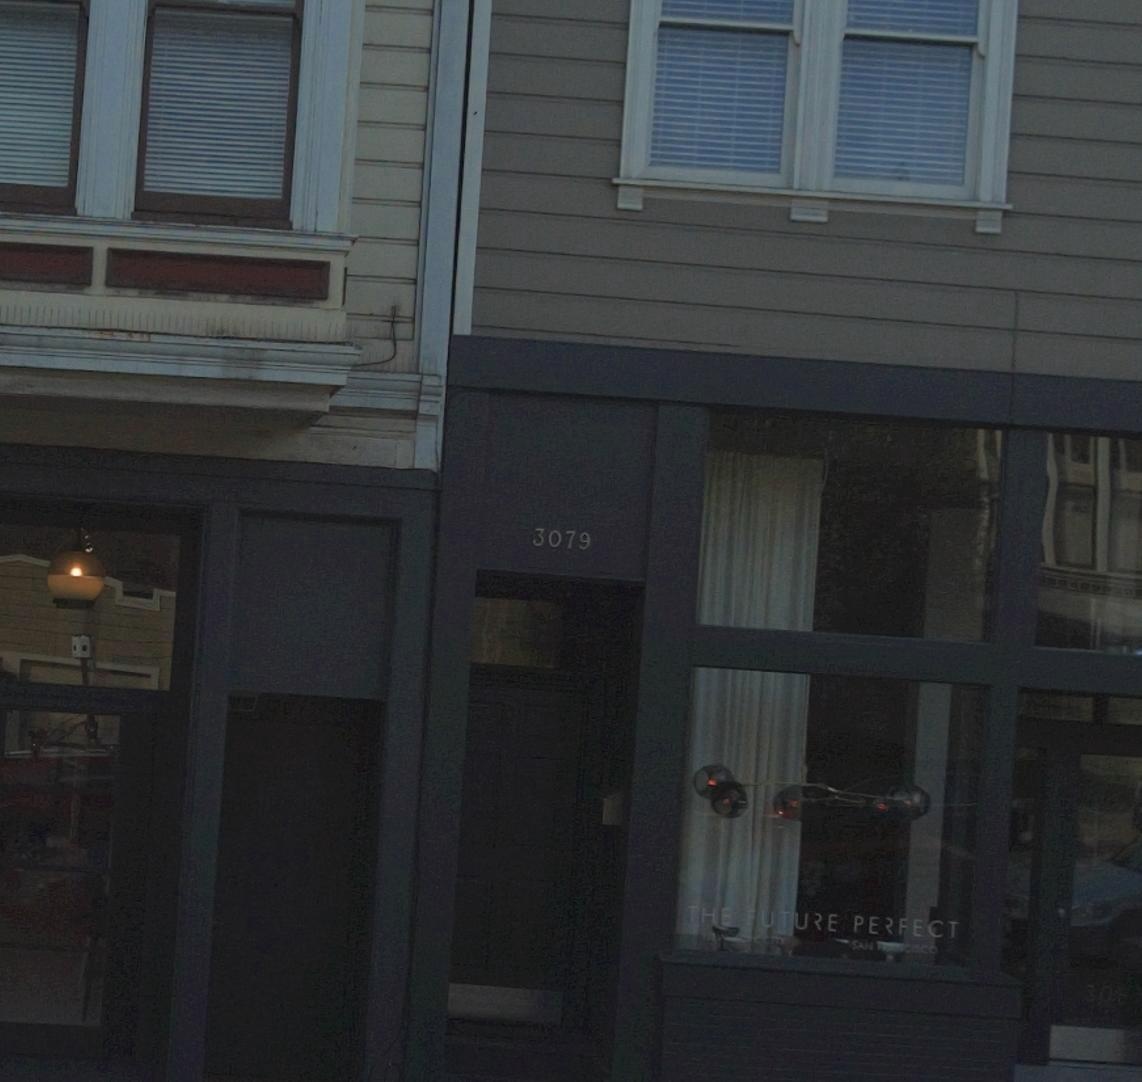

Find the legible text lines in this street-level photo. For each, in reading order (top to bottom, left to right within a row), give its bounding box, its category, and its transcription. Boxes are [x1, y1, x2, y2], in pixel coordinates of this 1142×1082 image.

[529, 525, 594, 553] StreetNumber: 3079
[685, 902, 964, 942] None: THE FUTURE PERFECT